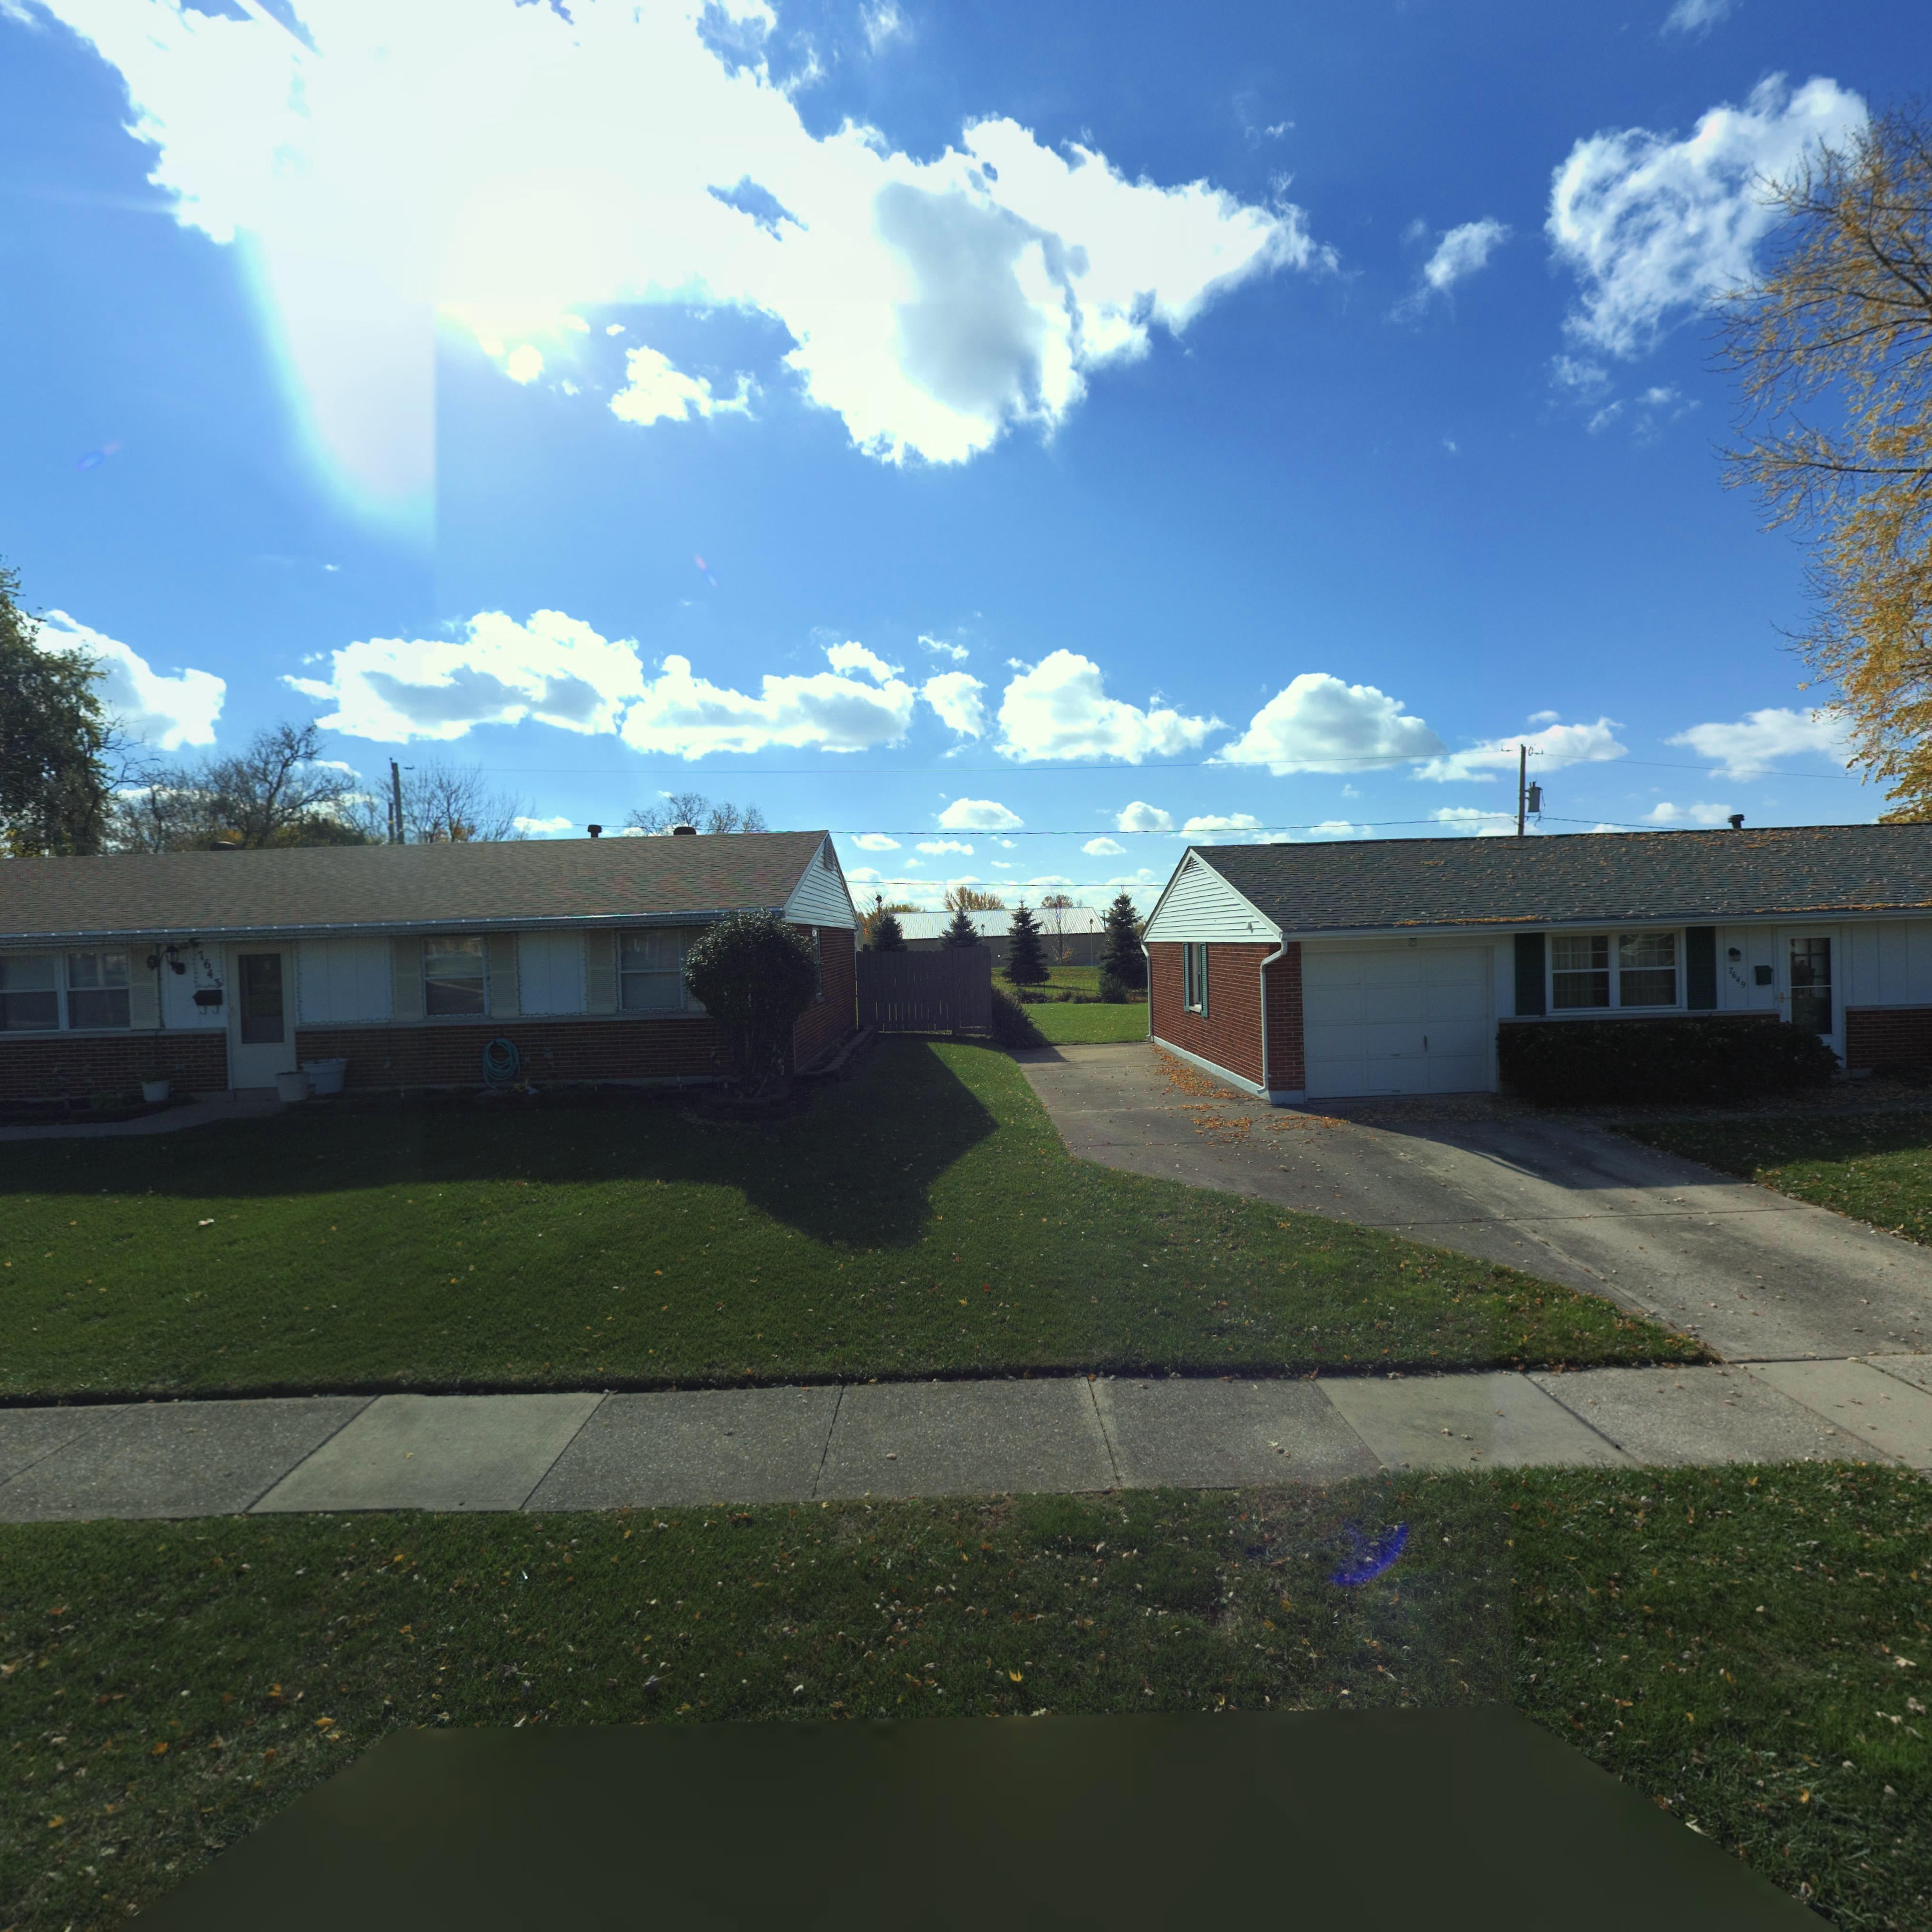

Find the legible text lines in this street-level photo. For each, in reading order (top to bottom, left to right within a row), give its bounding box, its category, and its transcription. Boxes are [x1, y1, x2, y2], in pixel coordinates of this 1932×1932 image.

[197, 949, 222, 989] StreetNumber: 7643
[1729, 966, 1746, 989] StreetNumber: 7649